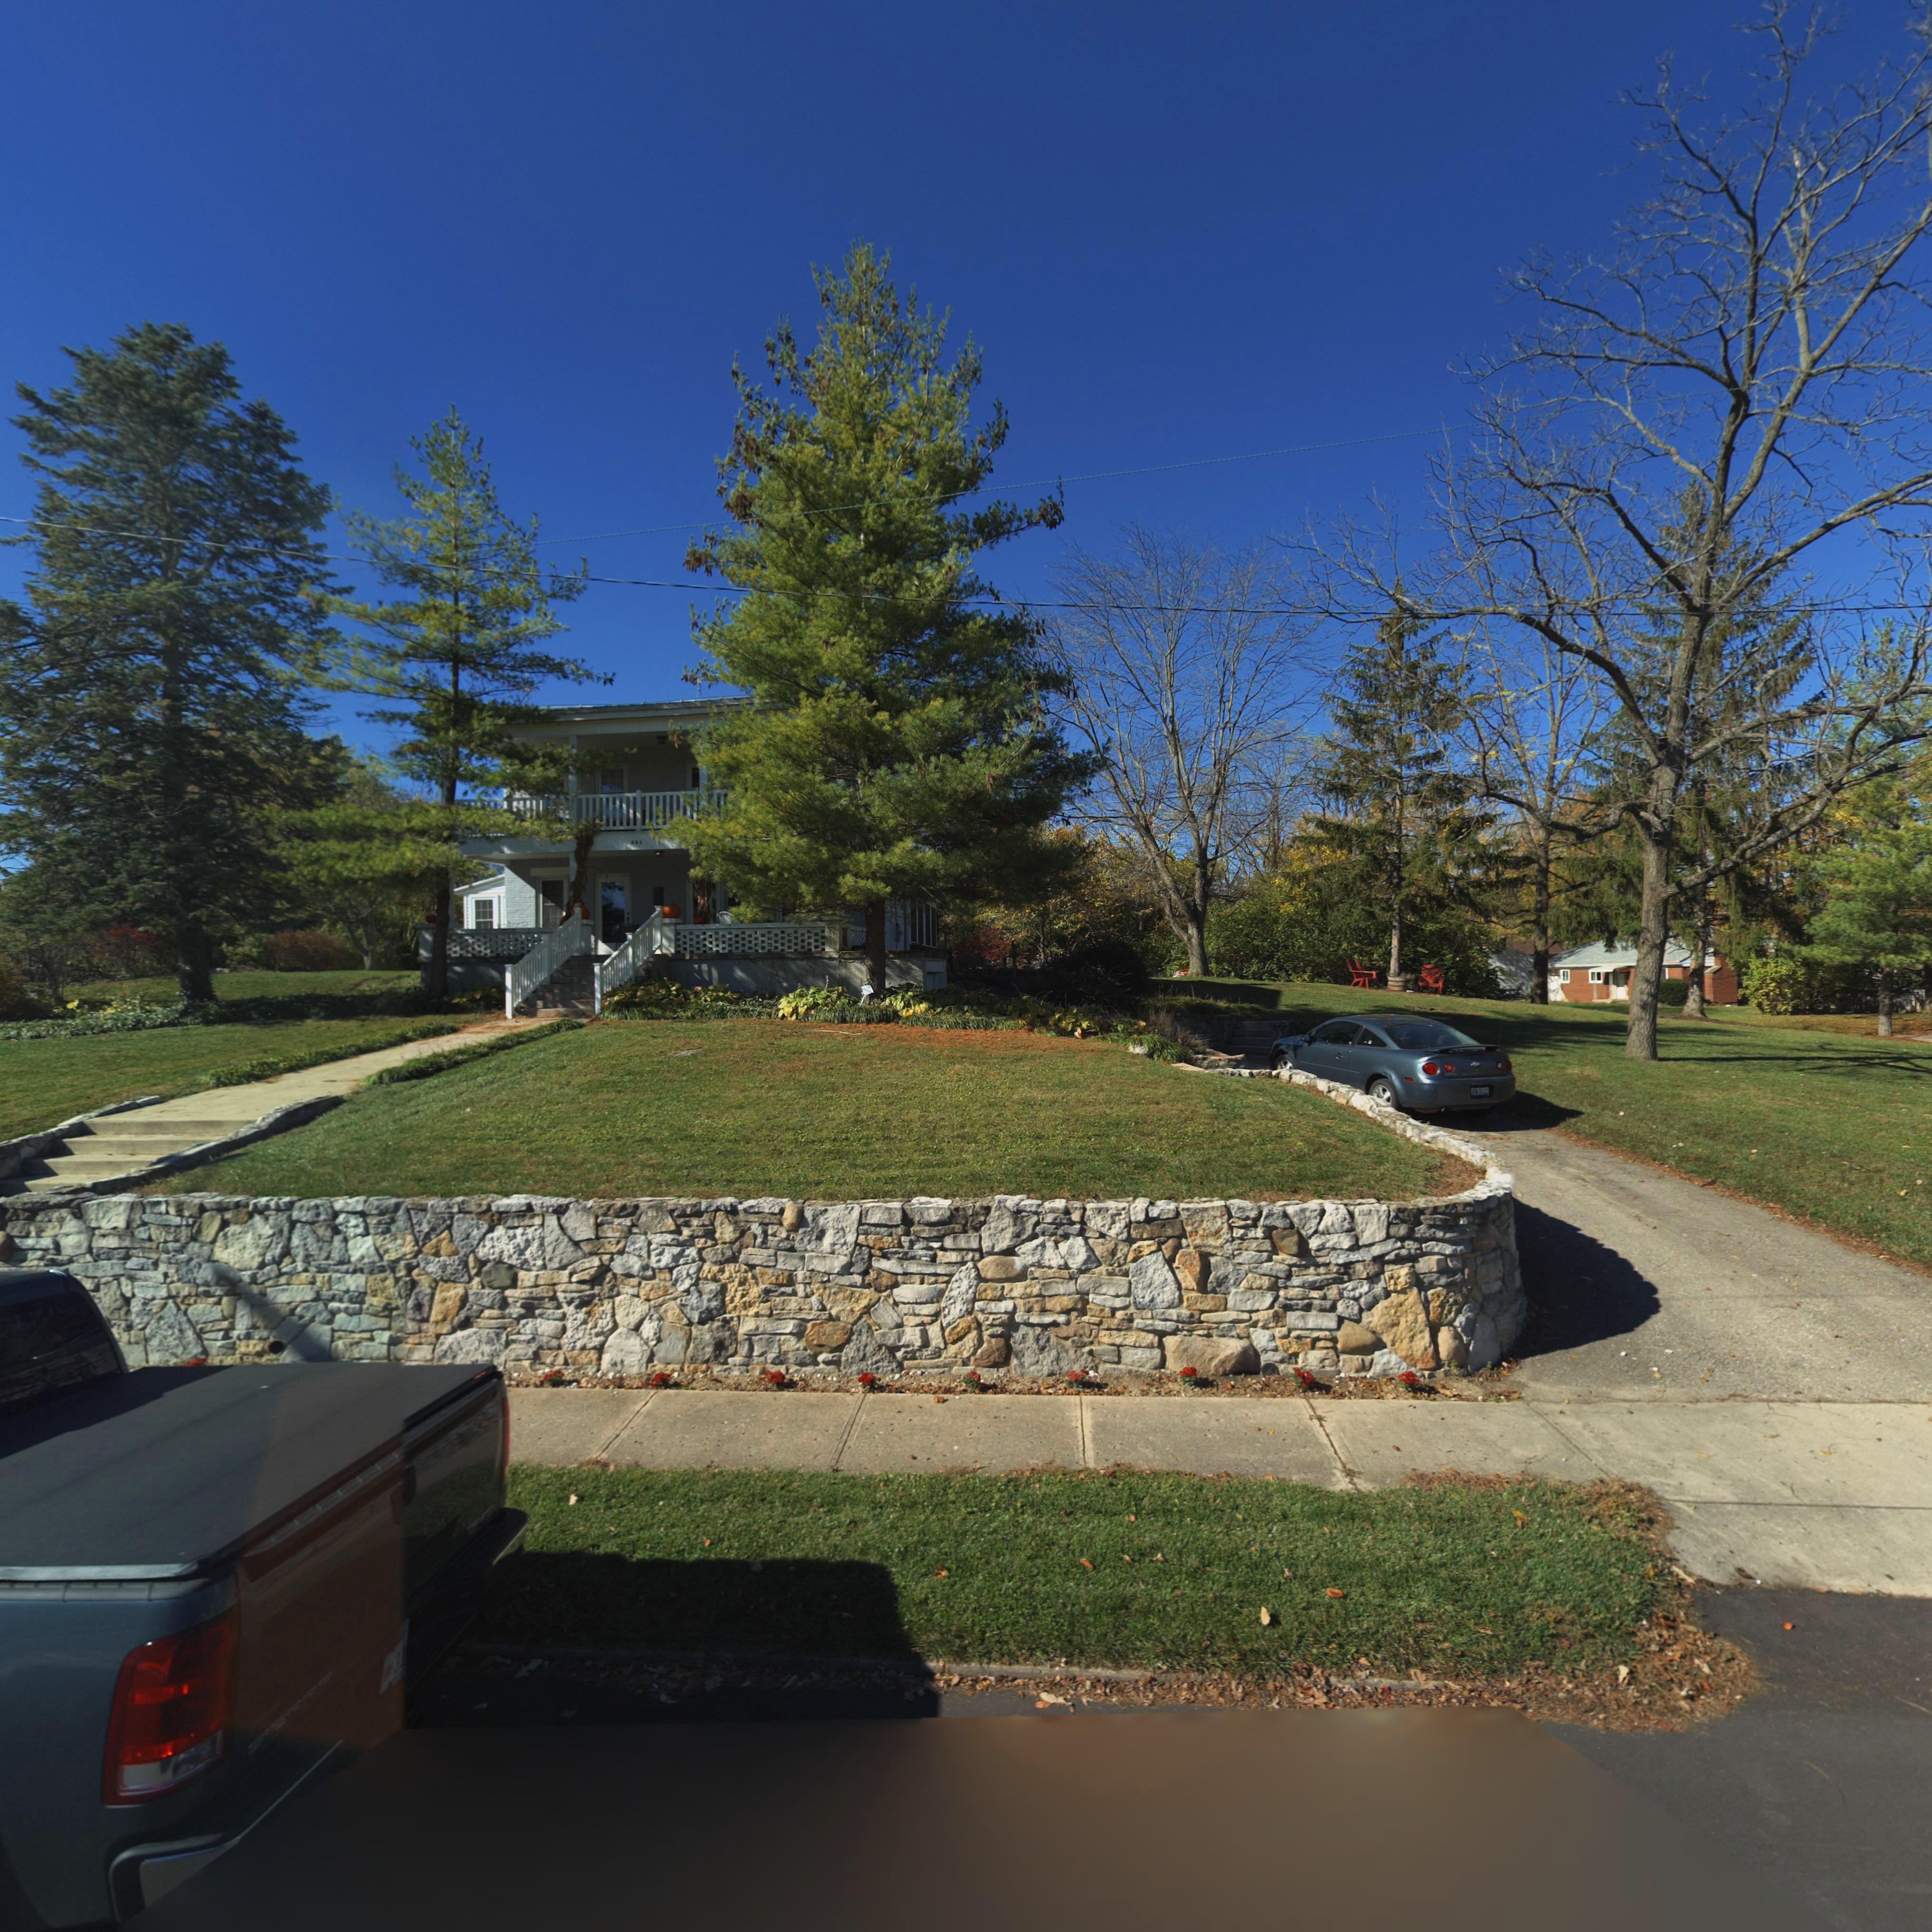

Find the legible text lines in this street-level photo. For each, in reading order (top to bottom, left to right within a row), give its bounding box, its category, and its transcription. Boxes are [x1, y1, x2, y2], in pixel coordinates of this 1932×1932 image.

[631, 840, 642, 845] StreetNumber: 401
[393, 1644, 406, 1677] None: 31